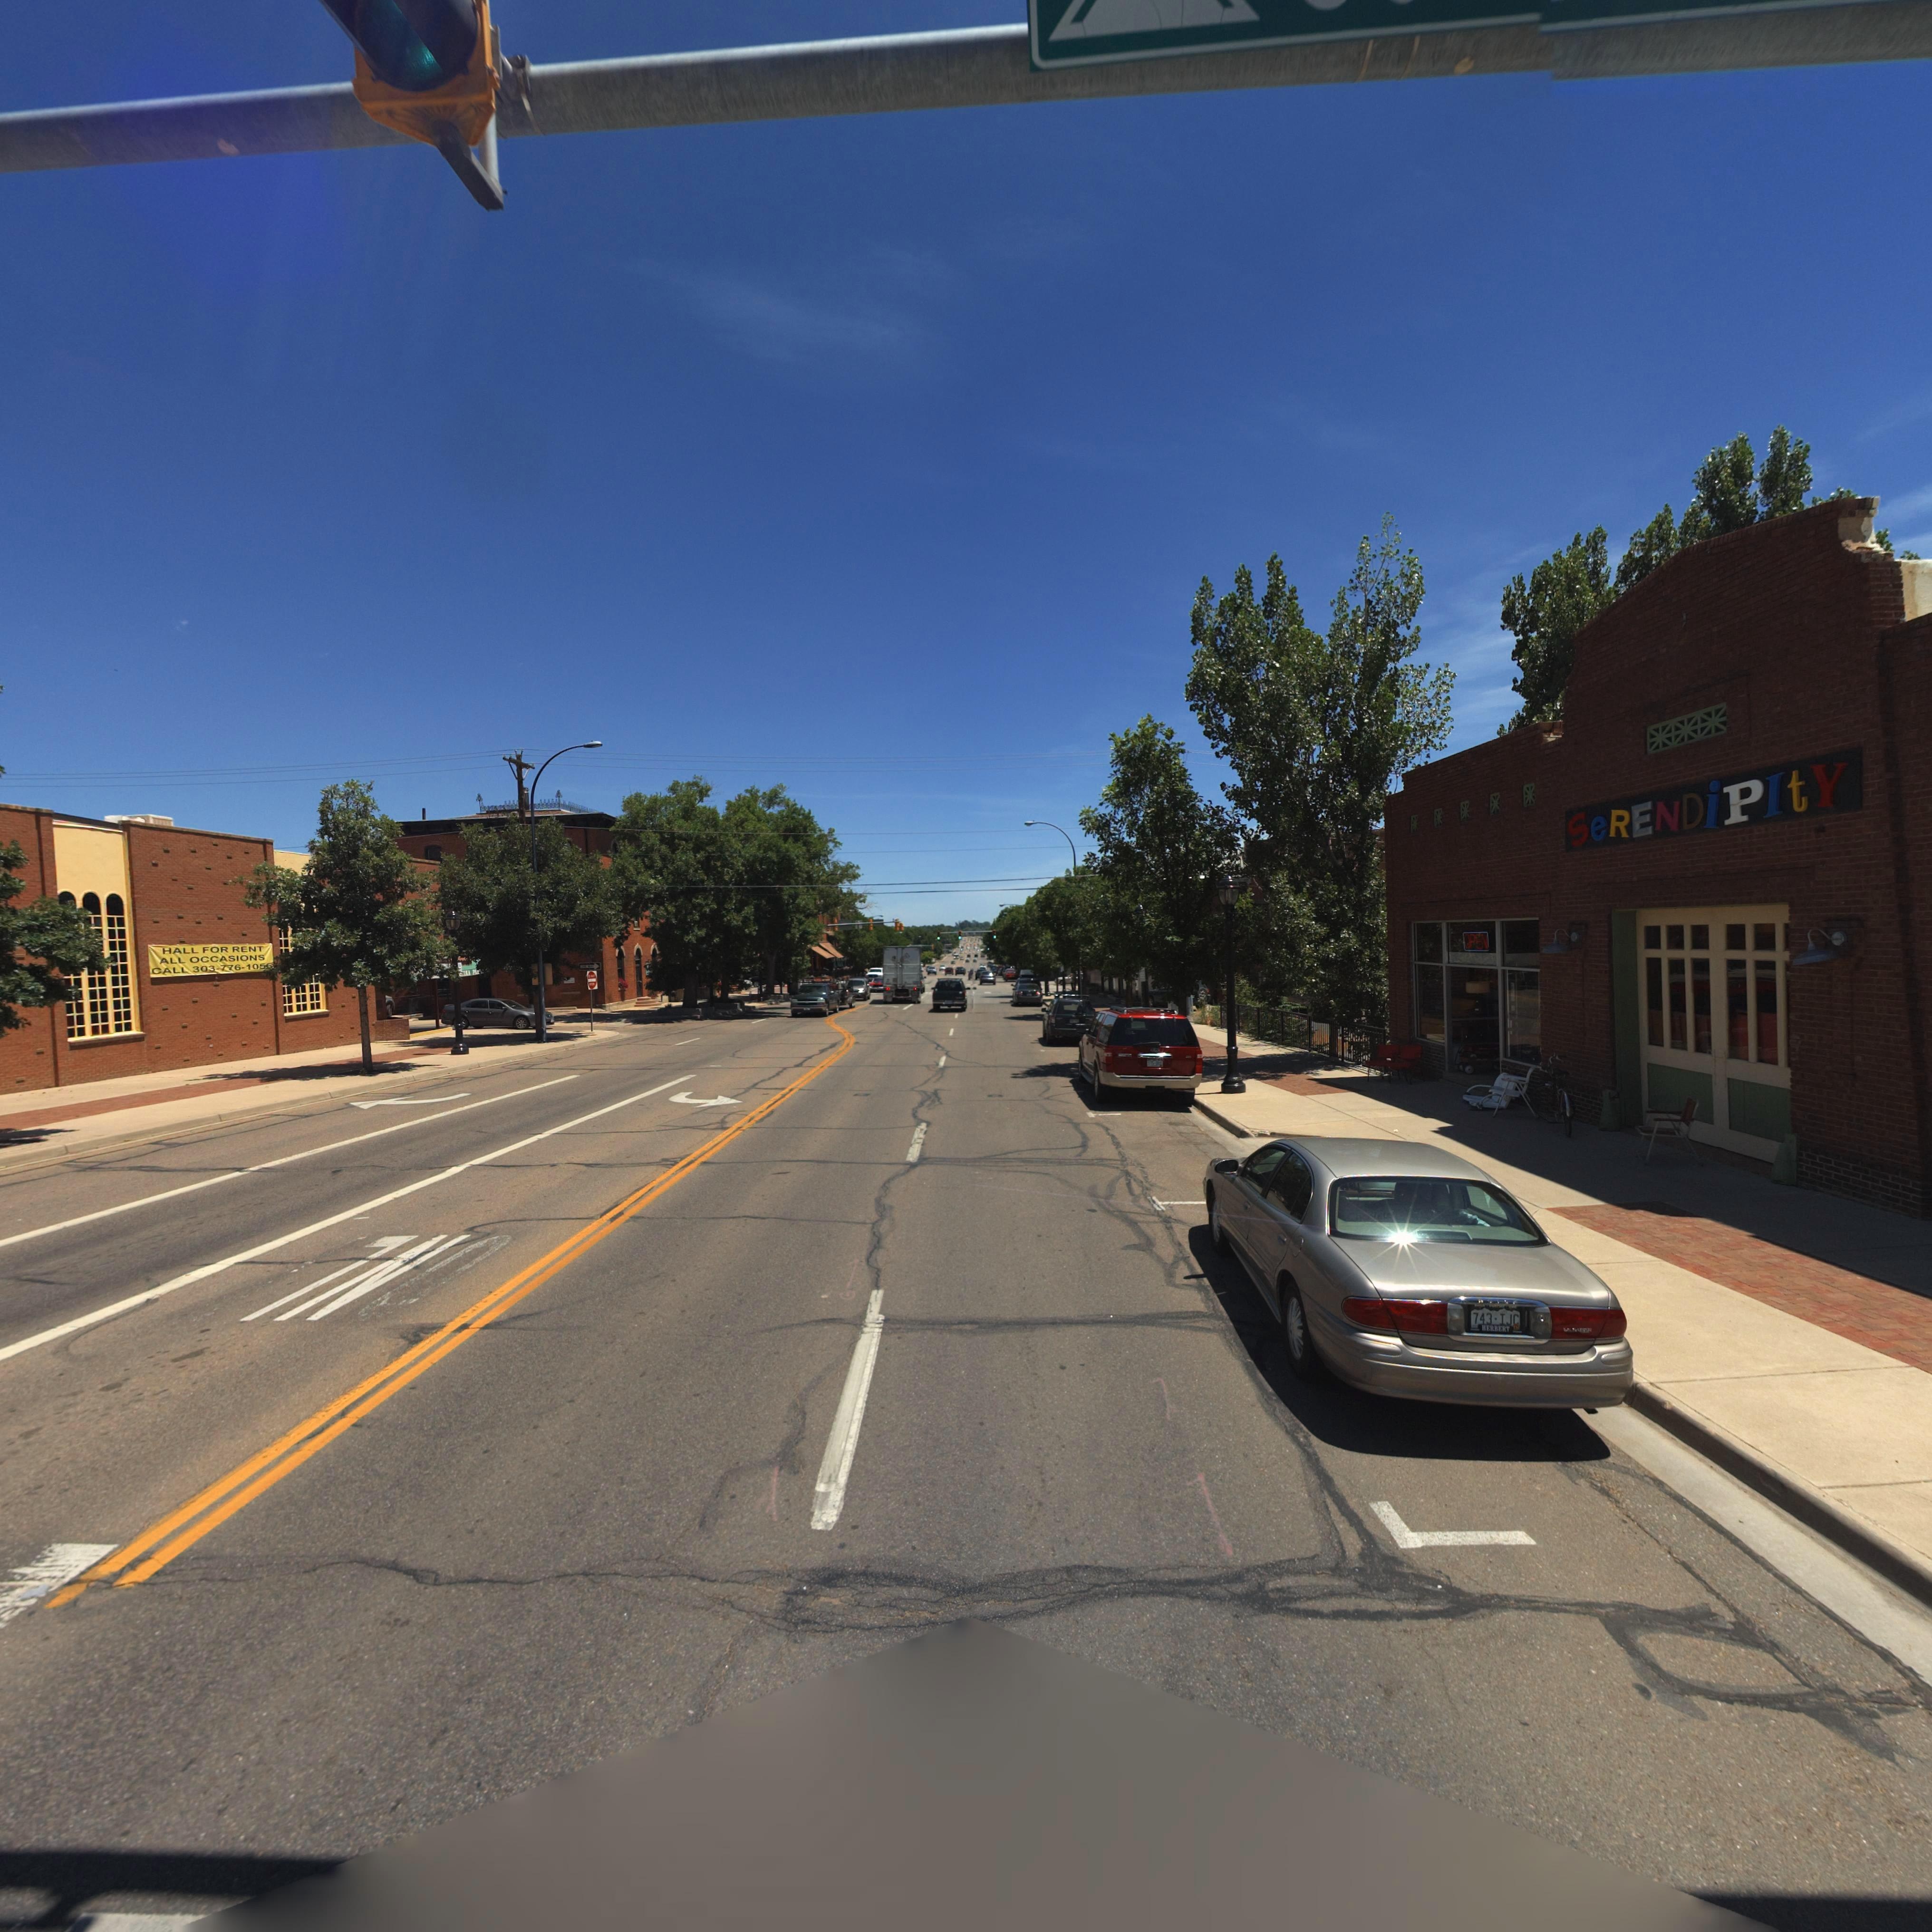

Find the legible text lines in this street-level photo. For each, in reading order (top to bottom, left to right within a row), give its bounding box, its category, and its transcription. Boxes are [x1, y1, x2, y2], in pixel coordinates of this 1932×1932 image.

[1567, 760, 1847, 847] BusinessName: SERENDIPITY